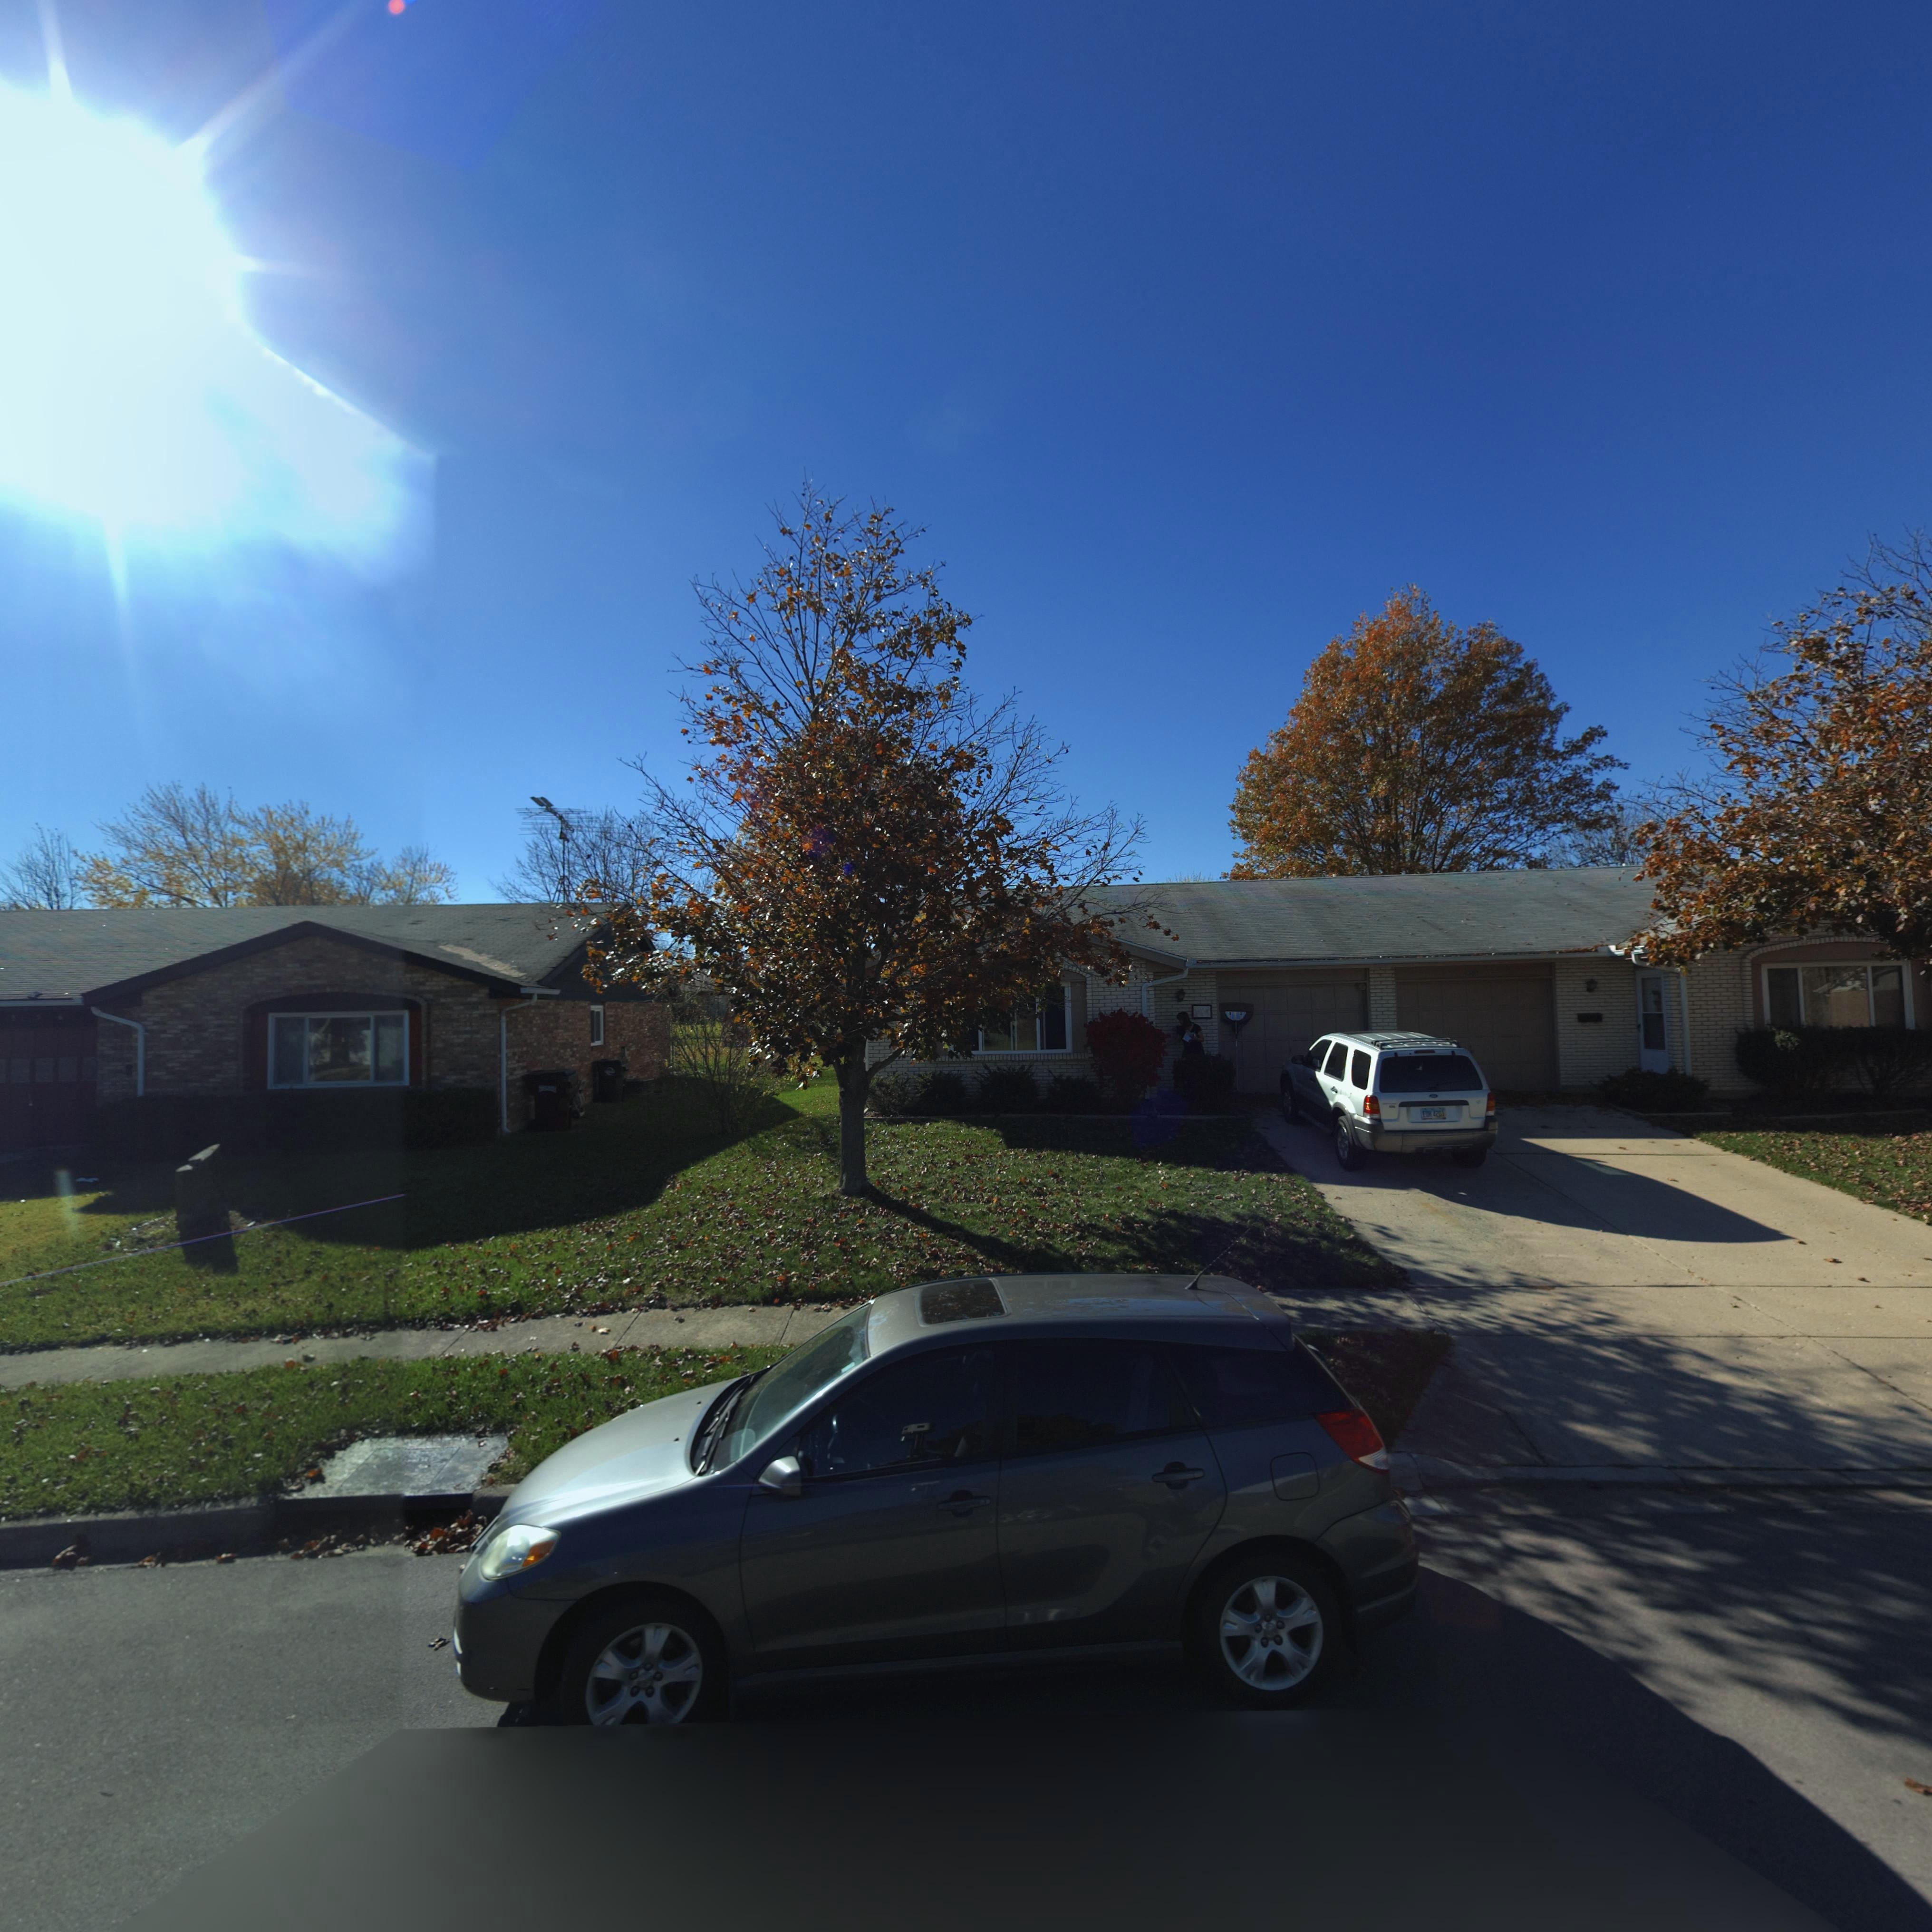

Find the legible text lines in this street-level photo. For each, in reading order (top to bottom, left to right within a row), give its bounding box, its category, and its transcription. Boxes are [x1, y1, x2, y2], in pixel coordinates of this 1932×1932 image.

[10, 1013, 64, 1022] StreetNumber: 356